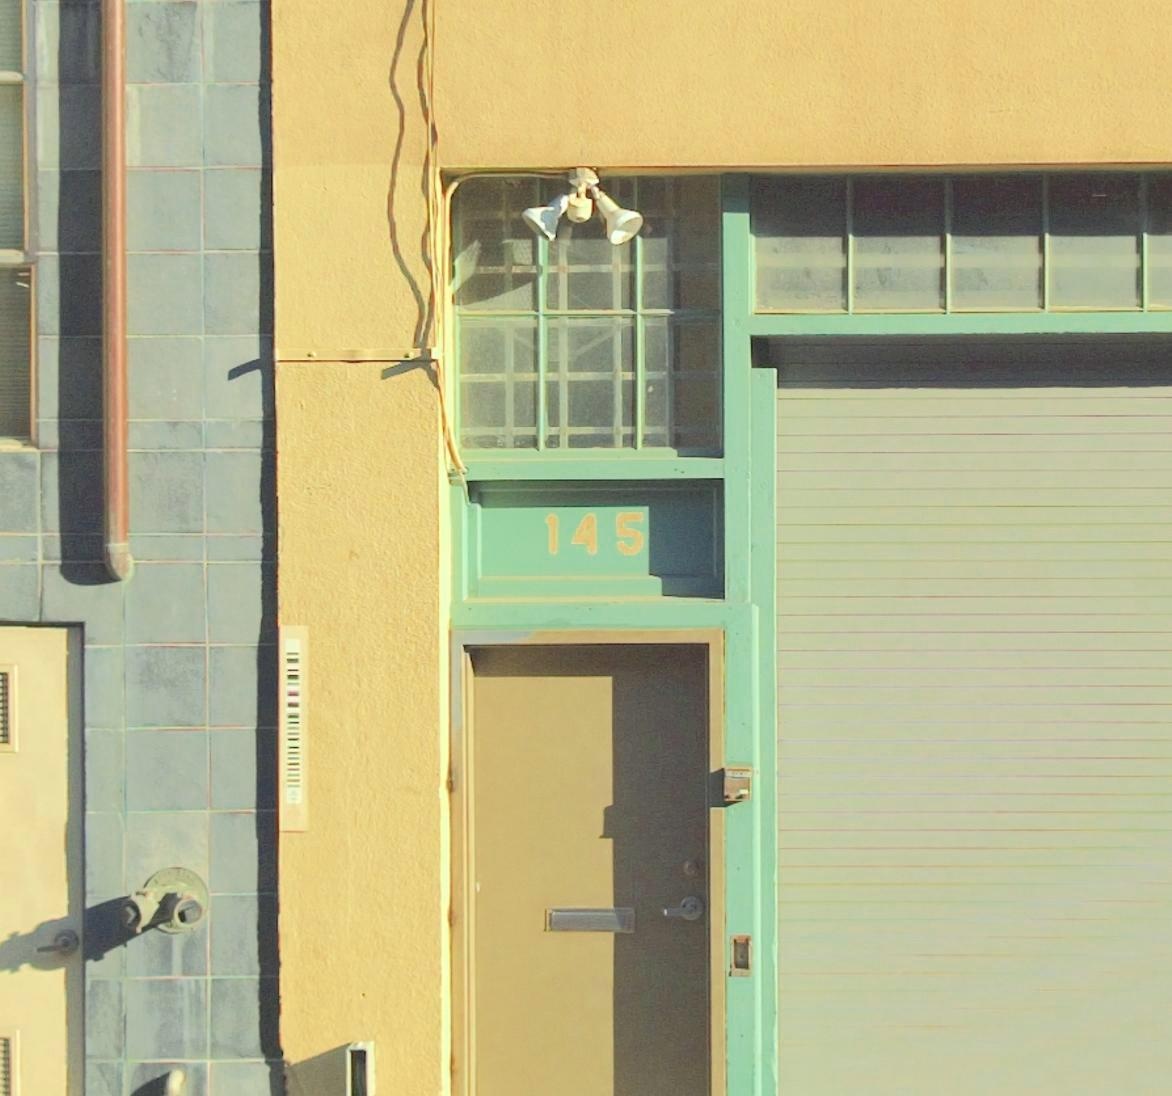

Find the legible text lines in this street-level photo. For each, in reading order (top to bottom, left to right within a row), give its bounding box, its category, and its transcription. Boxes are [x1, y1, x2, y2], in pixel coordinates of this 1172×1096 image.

[541, 509, 646, 557] StreetNumber: 145